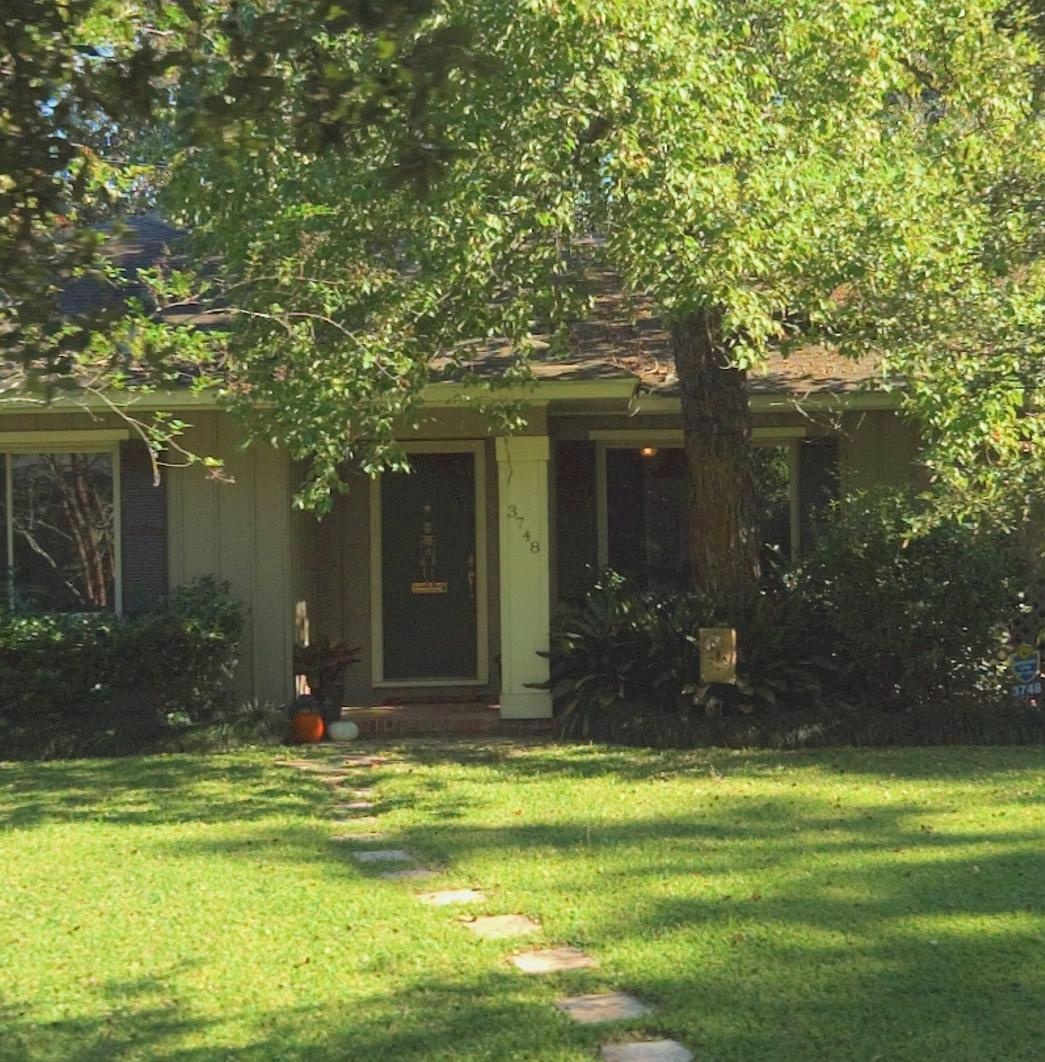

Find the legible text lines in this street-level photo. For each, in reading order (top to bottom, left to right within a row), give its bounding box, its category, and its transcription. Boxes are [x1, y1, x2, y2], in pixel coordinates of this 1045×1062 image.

[505, 503, 543, 555] StreetNumber: 3748
[1009, 677, 1044, 700] StreetNumber: 3748